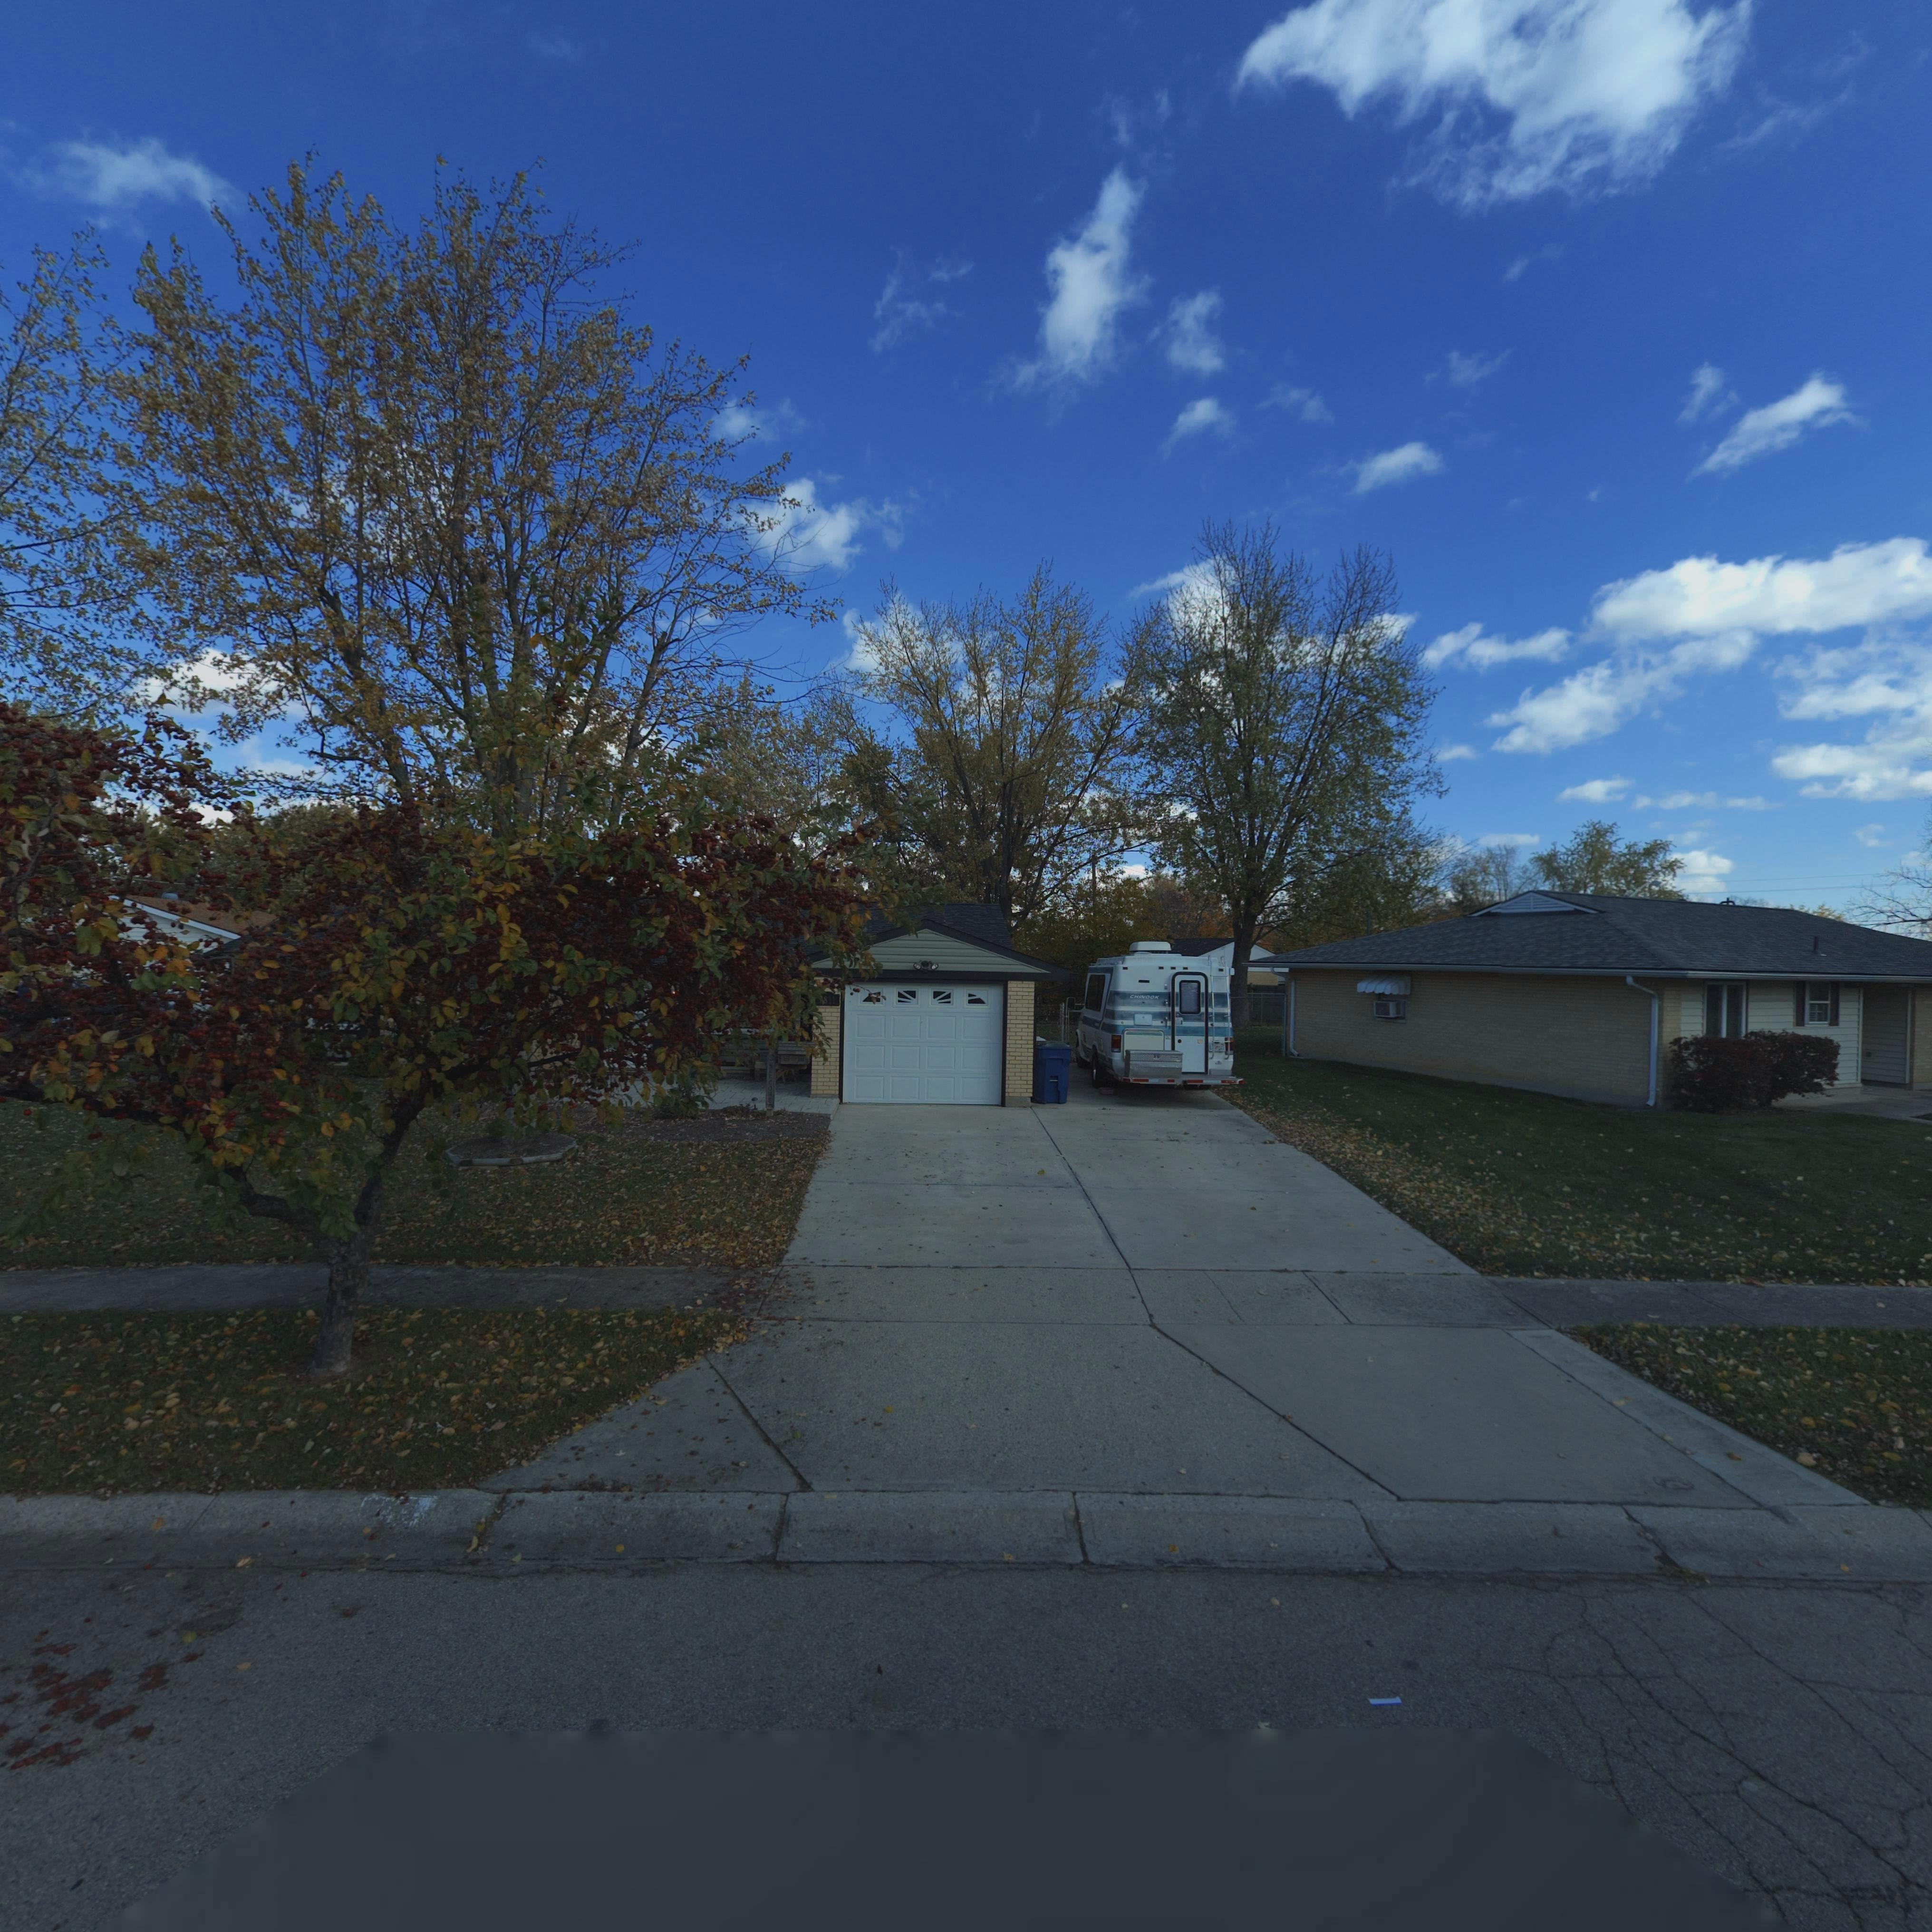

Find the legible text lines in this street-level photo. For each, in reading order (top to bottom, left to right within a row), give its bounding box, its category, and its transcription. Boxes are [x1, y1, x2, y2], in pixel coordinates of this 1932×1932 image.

[823, 995, 836, 1005] StreetNumber: 811